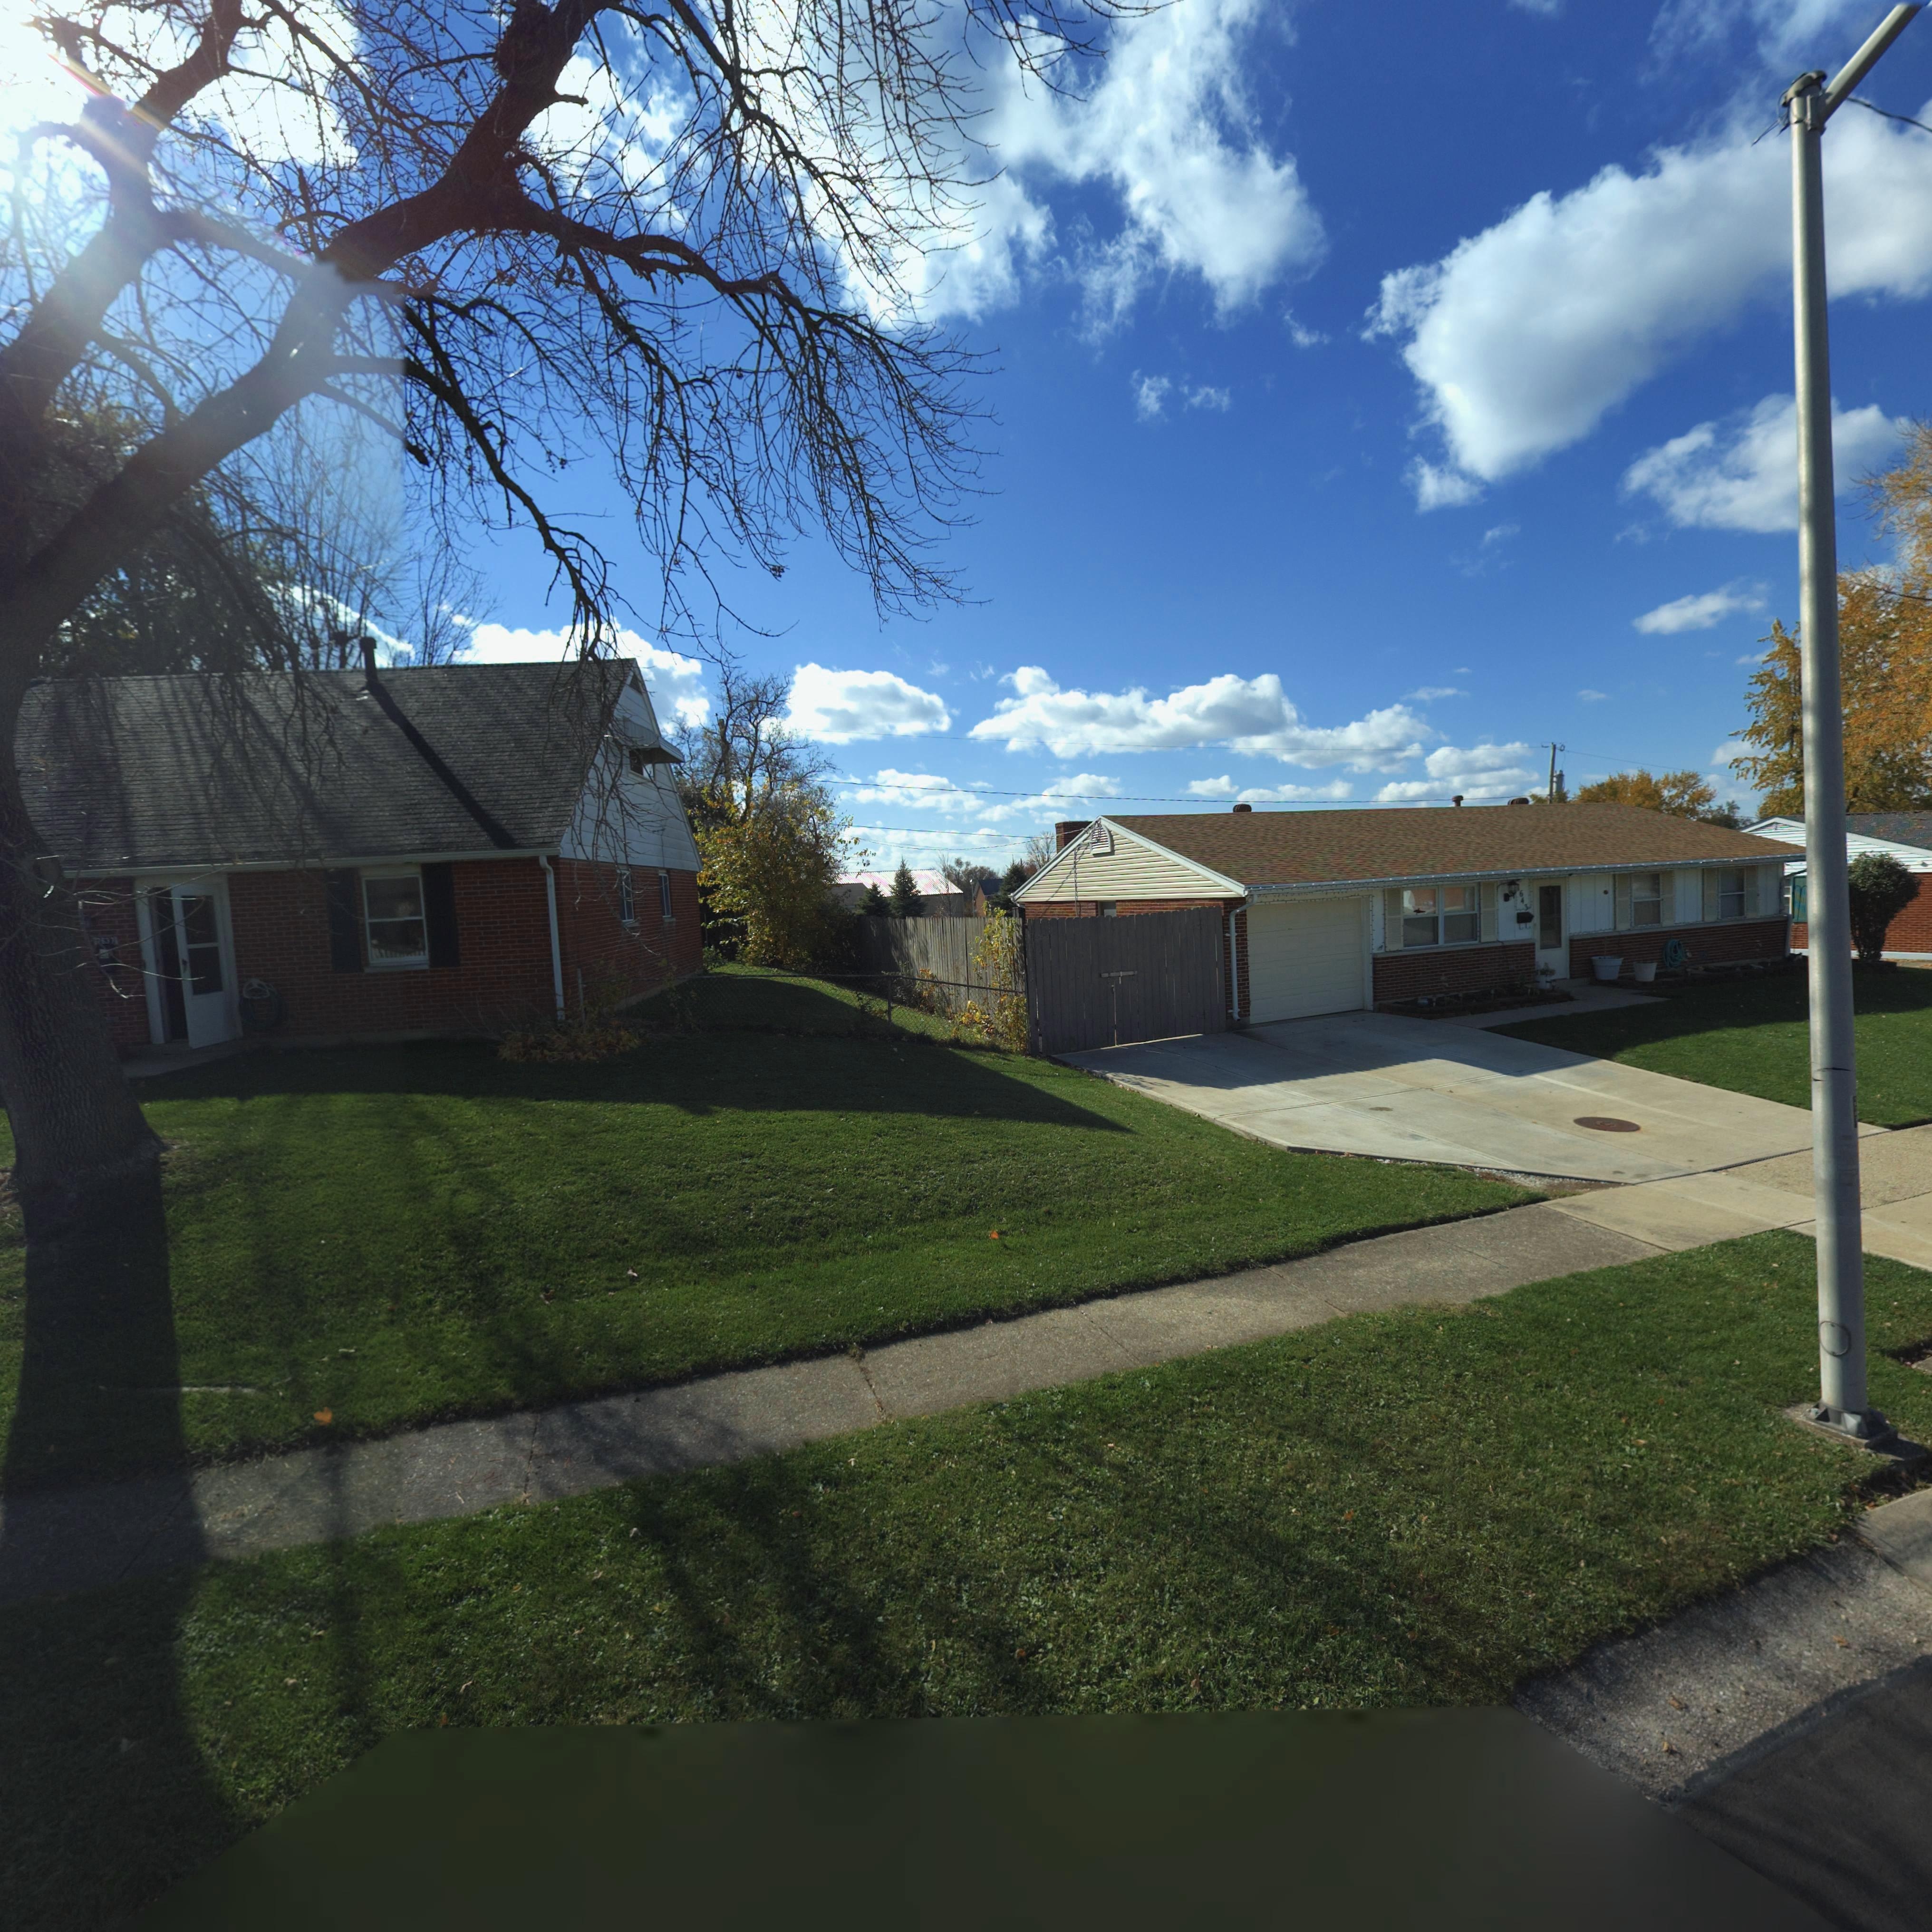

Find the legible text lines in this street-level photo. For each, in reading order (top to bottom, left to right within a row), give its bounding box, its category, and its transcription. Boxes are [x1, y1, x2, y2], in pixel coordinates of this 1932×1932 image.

[1519, 889, 1529, 912] StreetNumber: 643
[95, 937, 116, 945] StreetNumber: 7*37